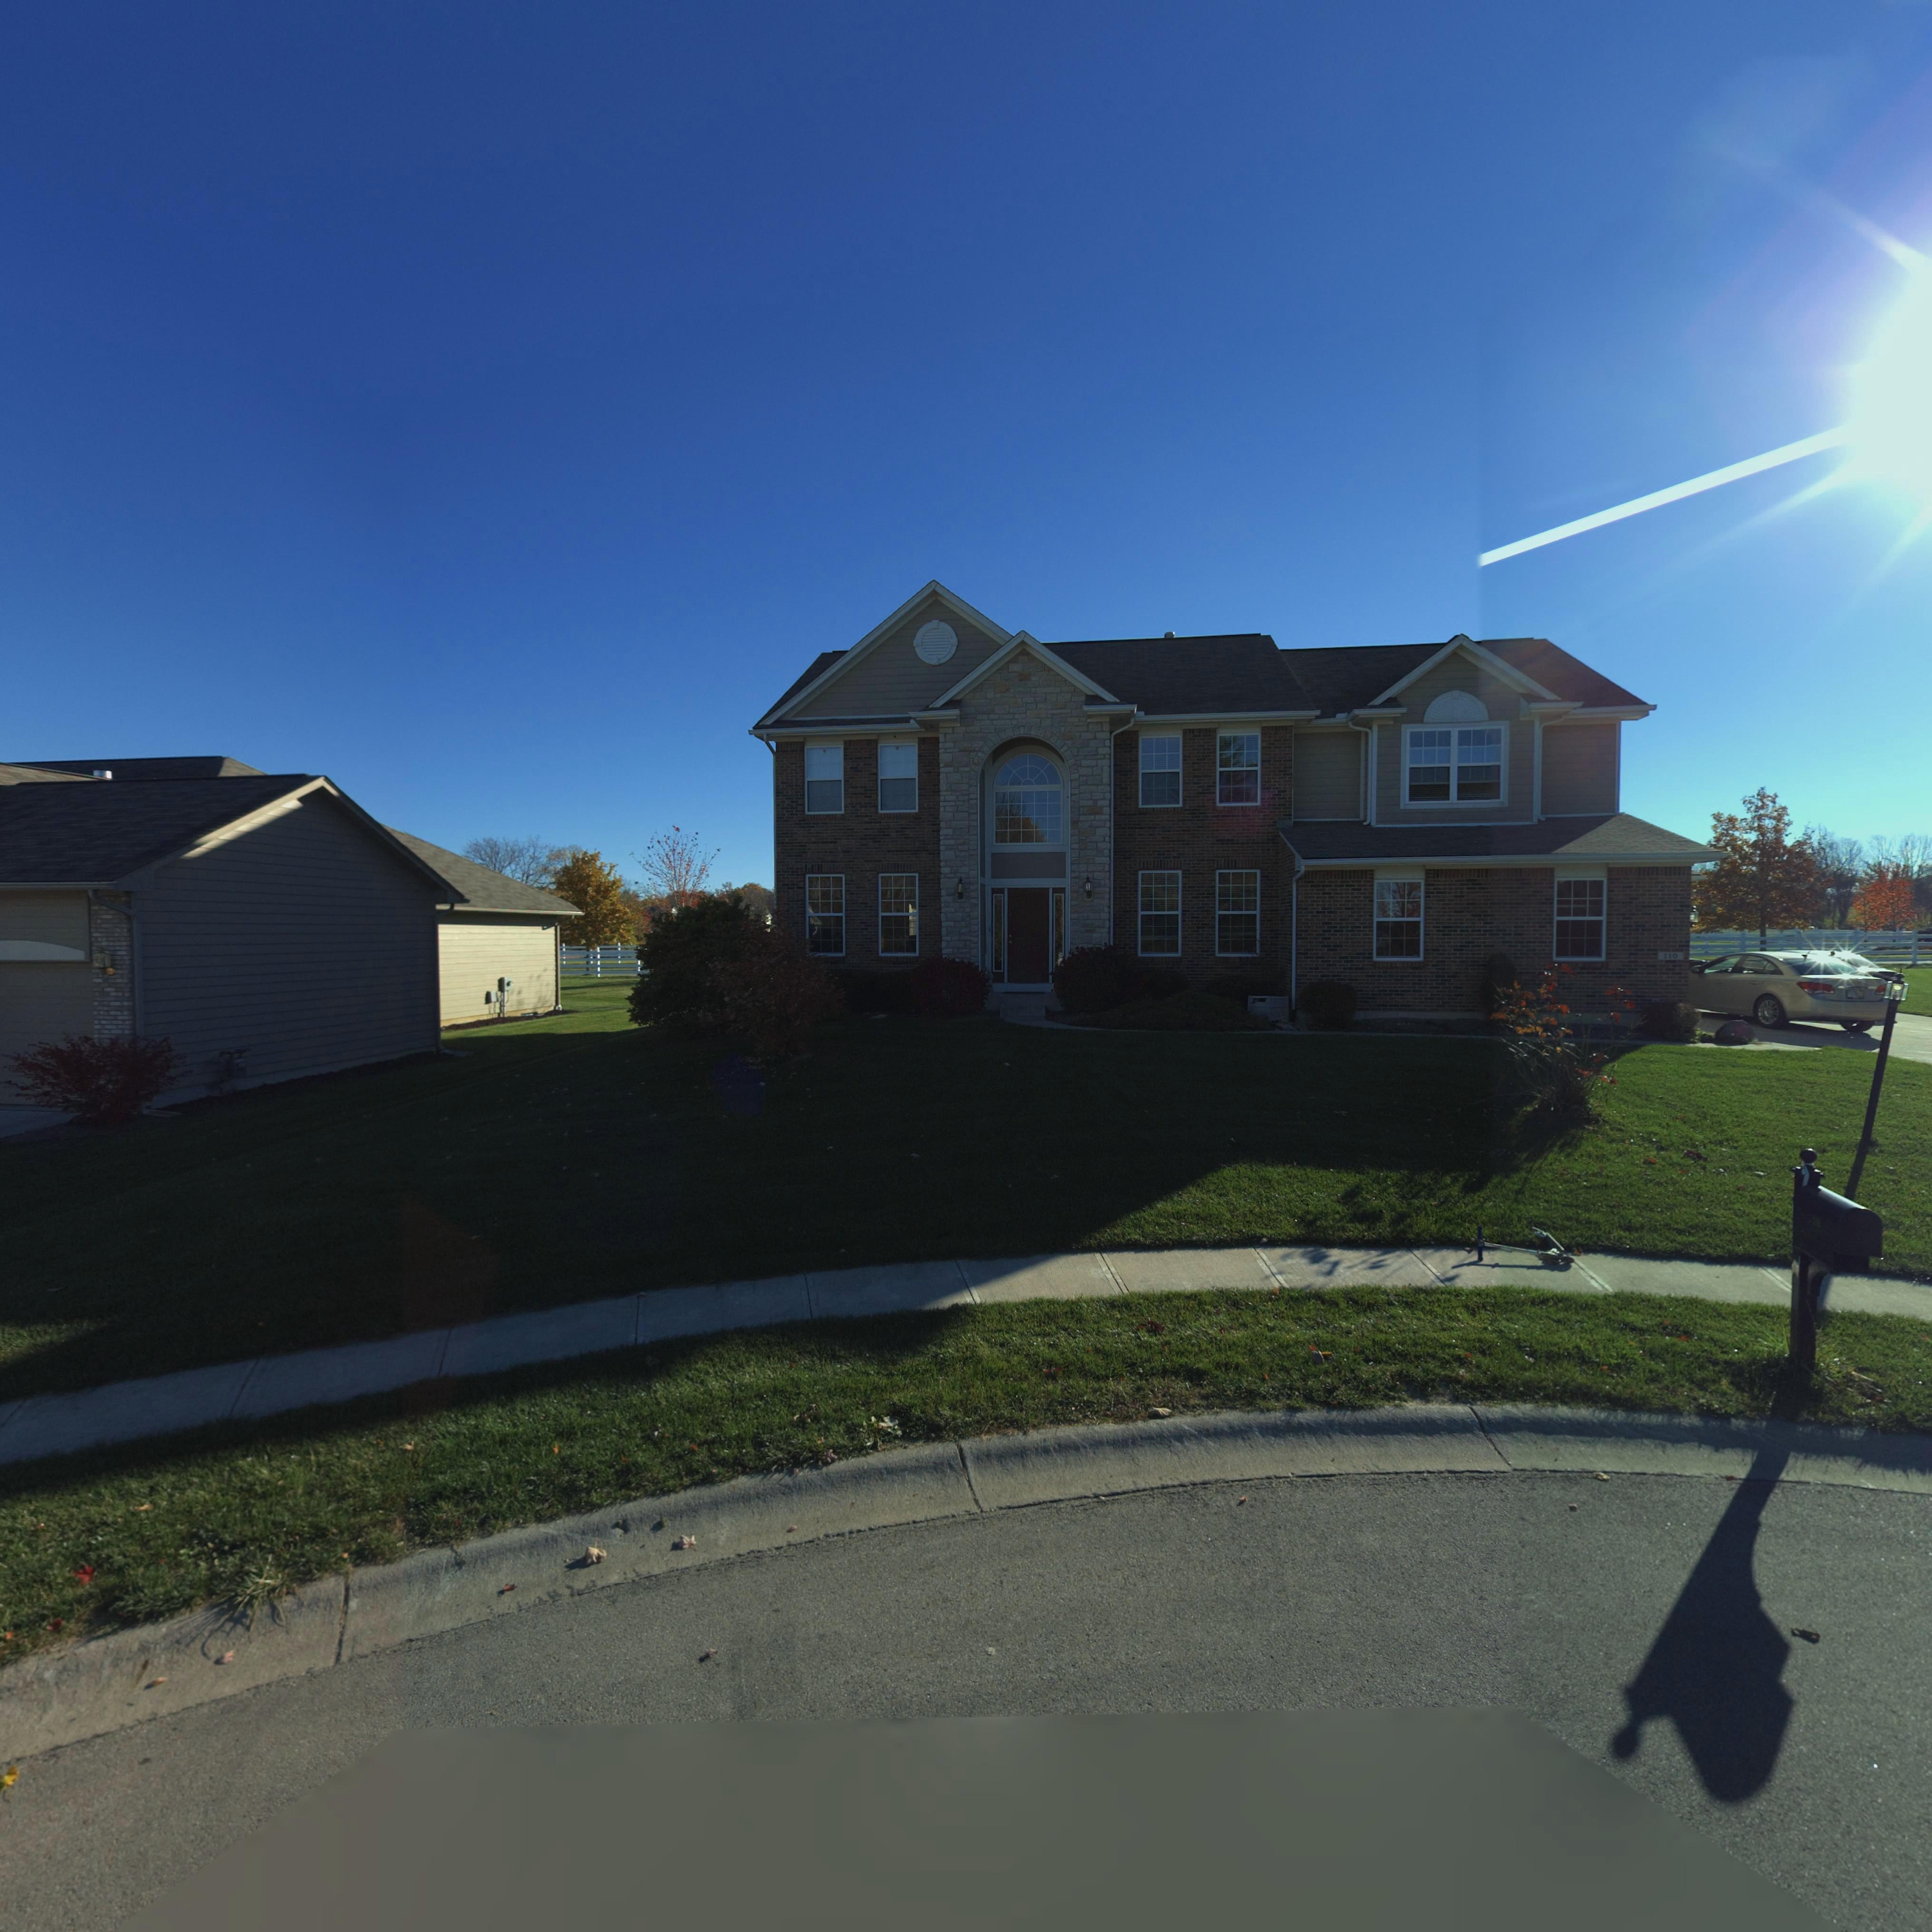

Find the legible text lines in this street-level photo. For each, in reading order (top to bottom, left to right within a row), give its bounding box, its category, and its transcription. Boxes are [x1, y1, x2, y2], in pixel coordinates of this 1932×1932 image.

[1663, 952, 1679, 960] StreetNumber: 110